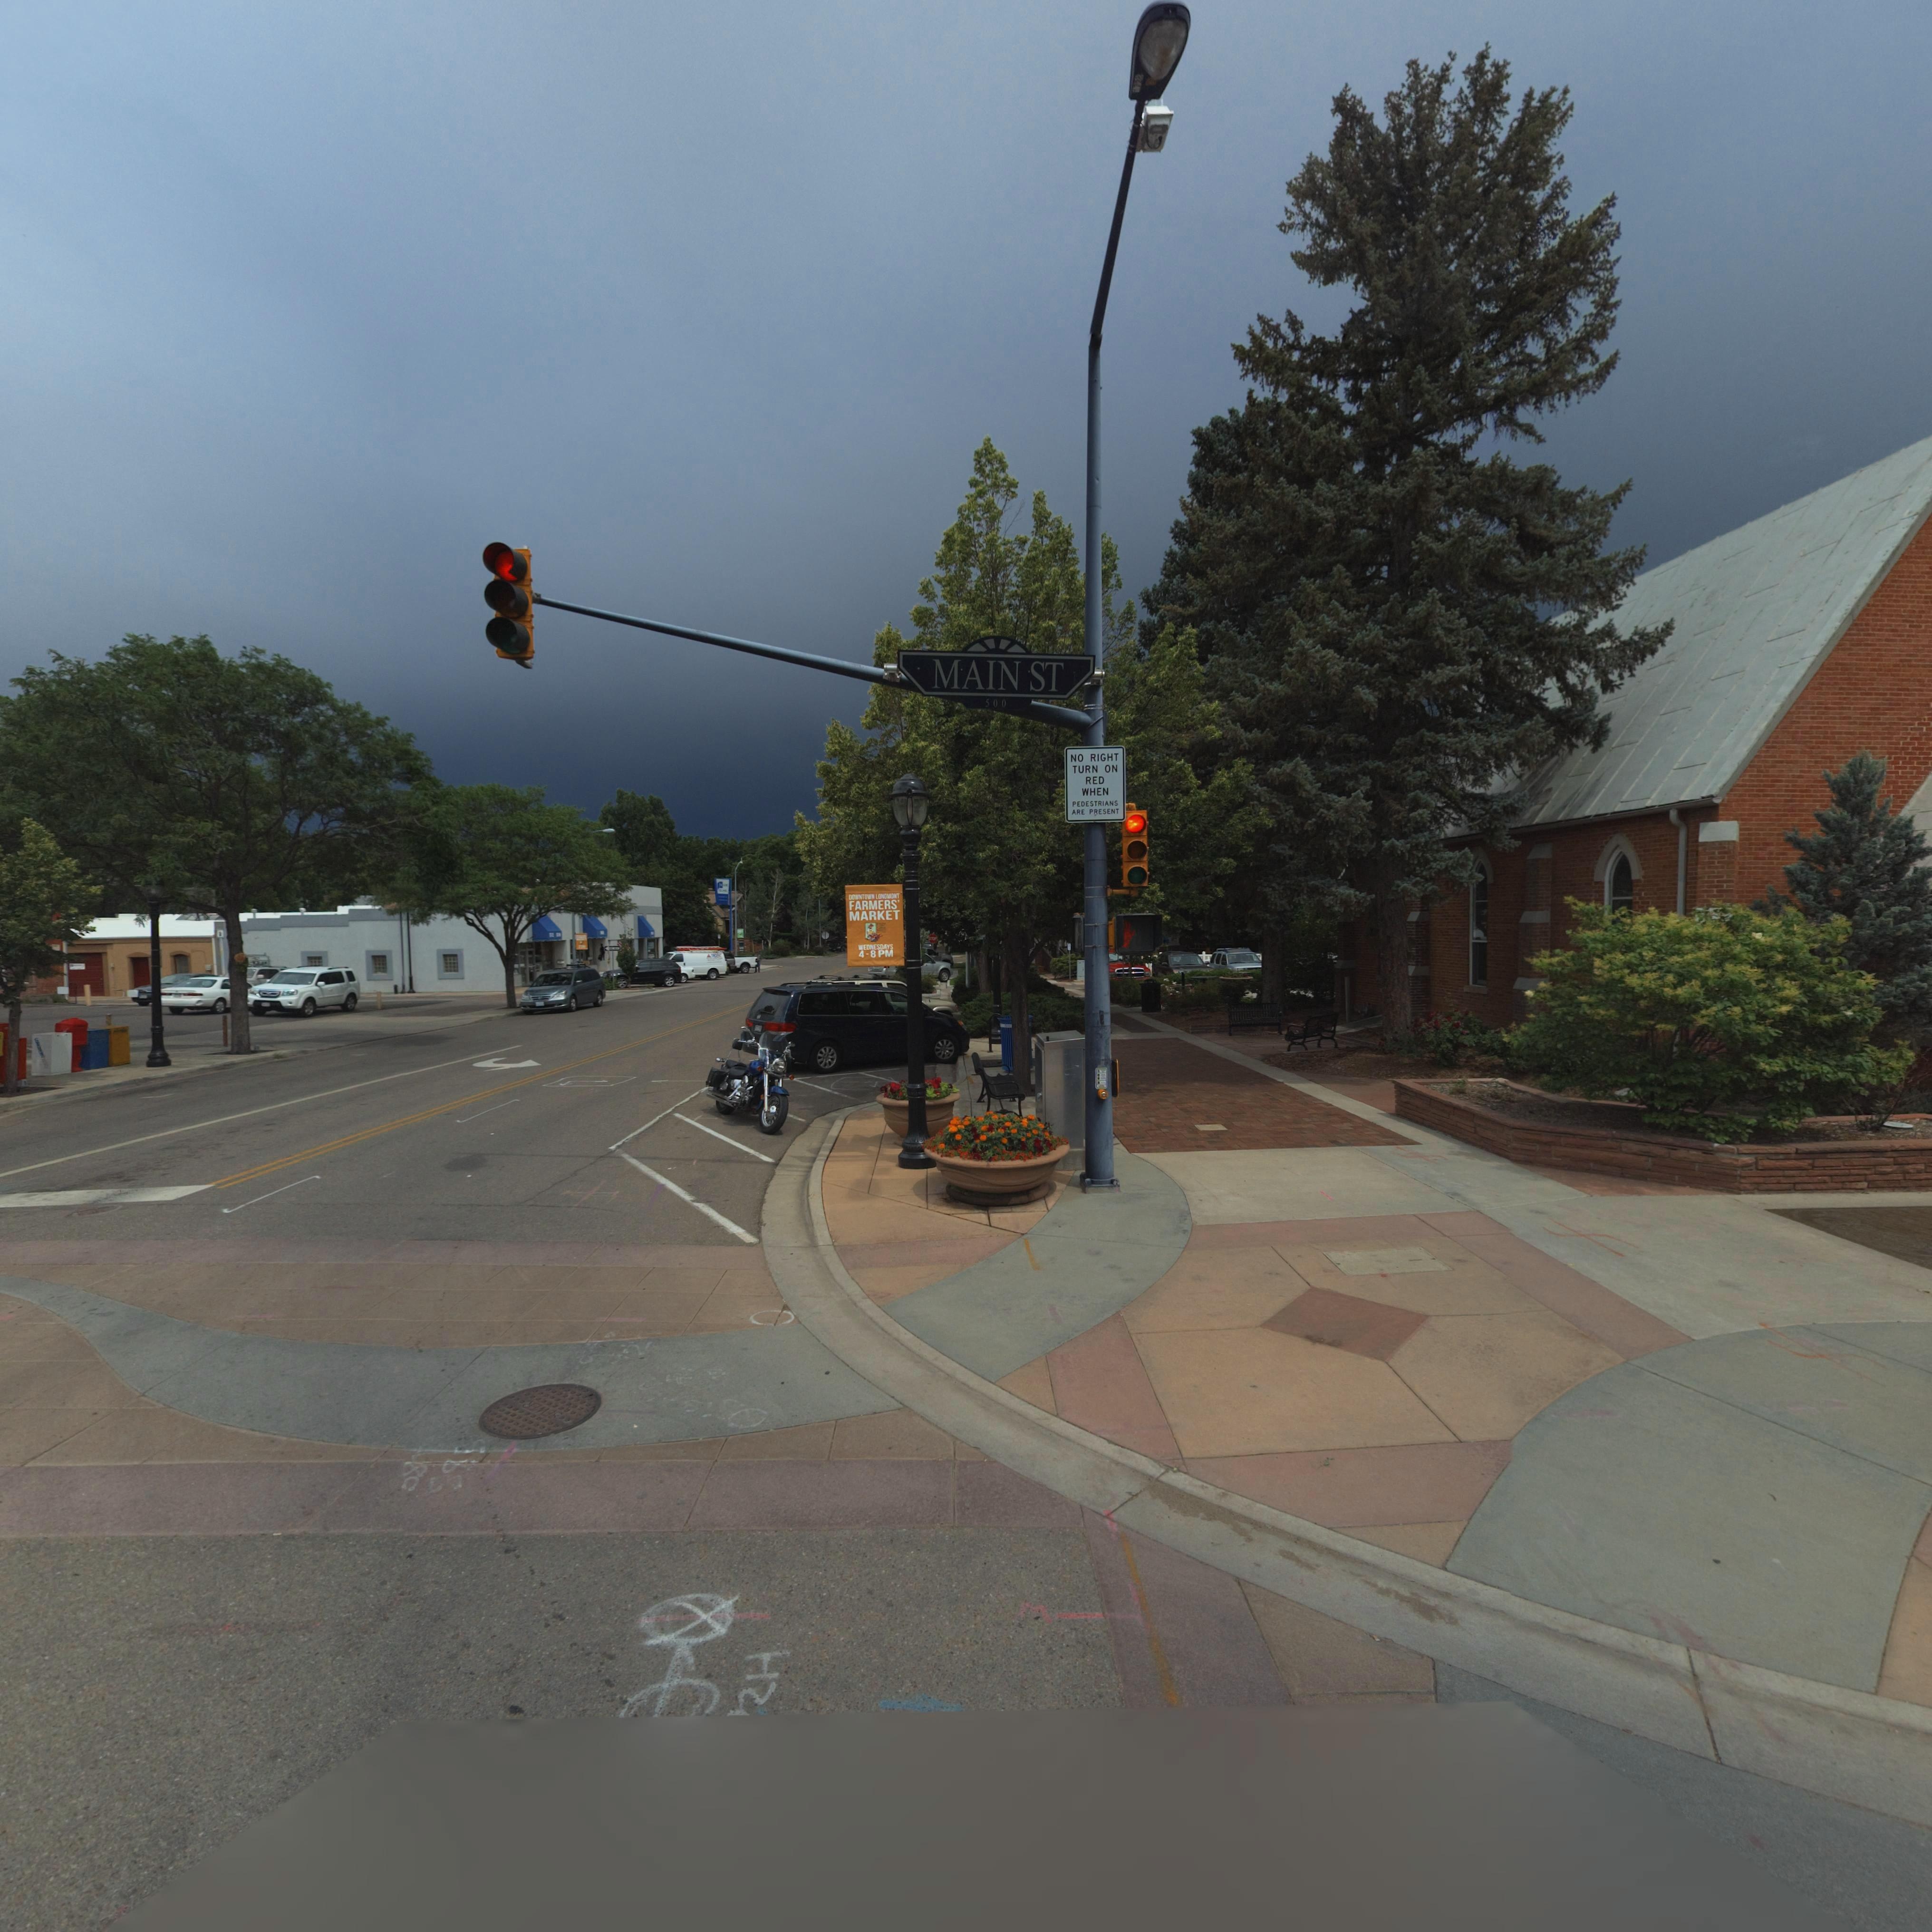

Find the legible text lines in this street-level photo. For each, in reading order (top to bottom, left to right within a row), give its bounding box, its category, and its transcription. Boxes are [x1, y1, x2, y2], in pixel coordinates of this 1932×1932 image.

[931, 658, 1064, 692] StreetName: MAIN ST
[985, 698, 1006, 708] StreetNumberRange: 500